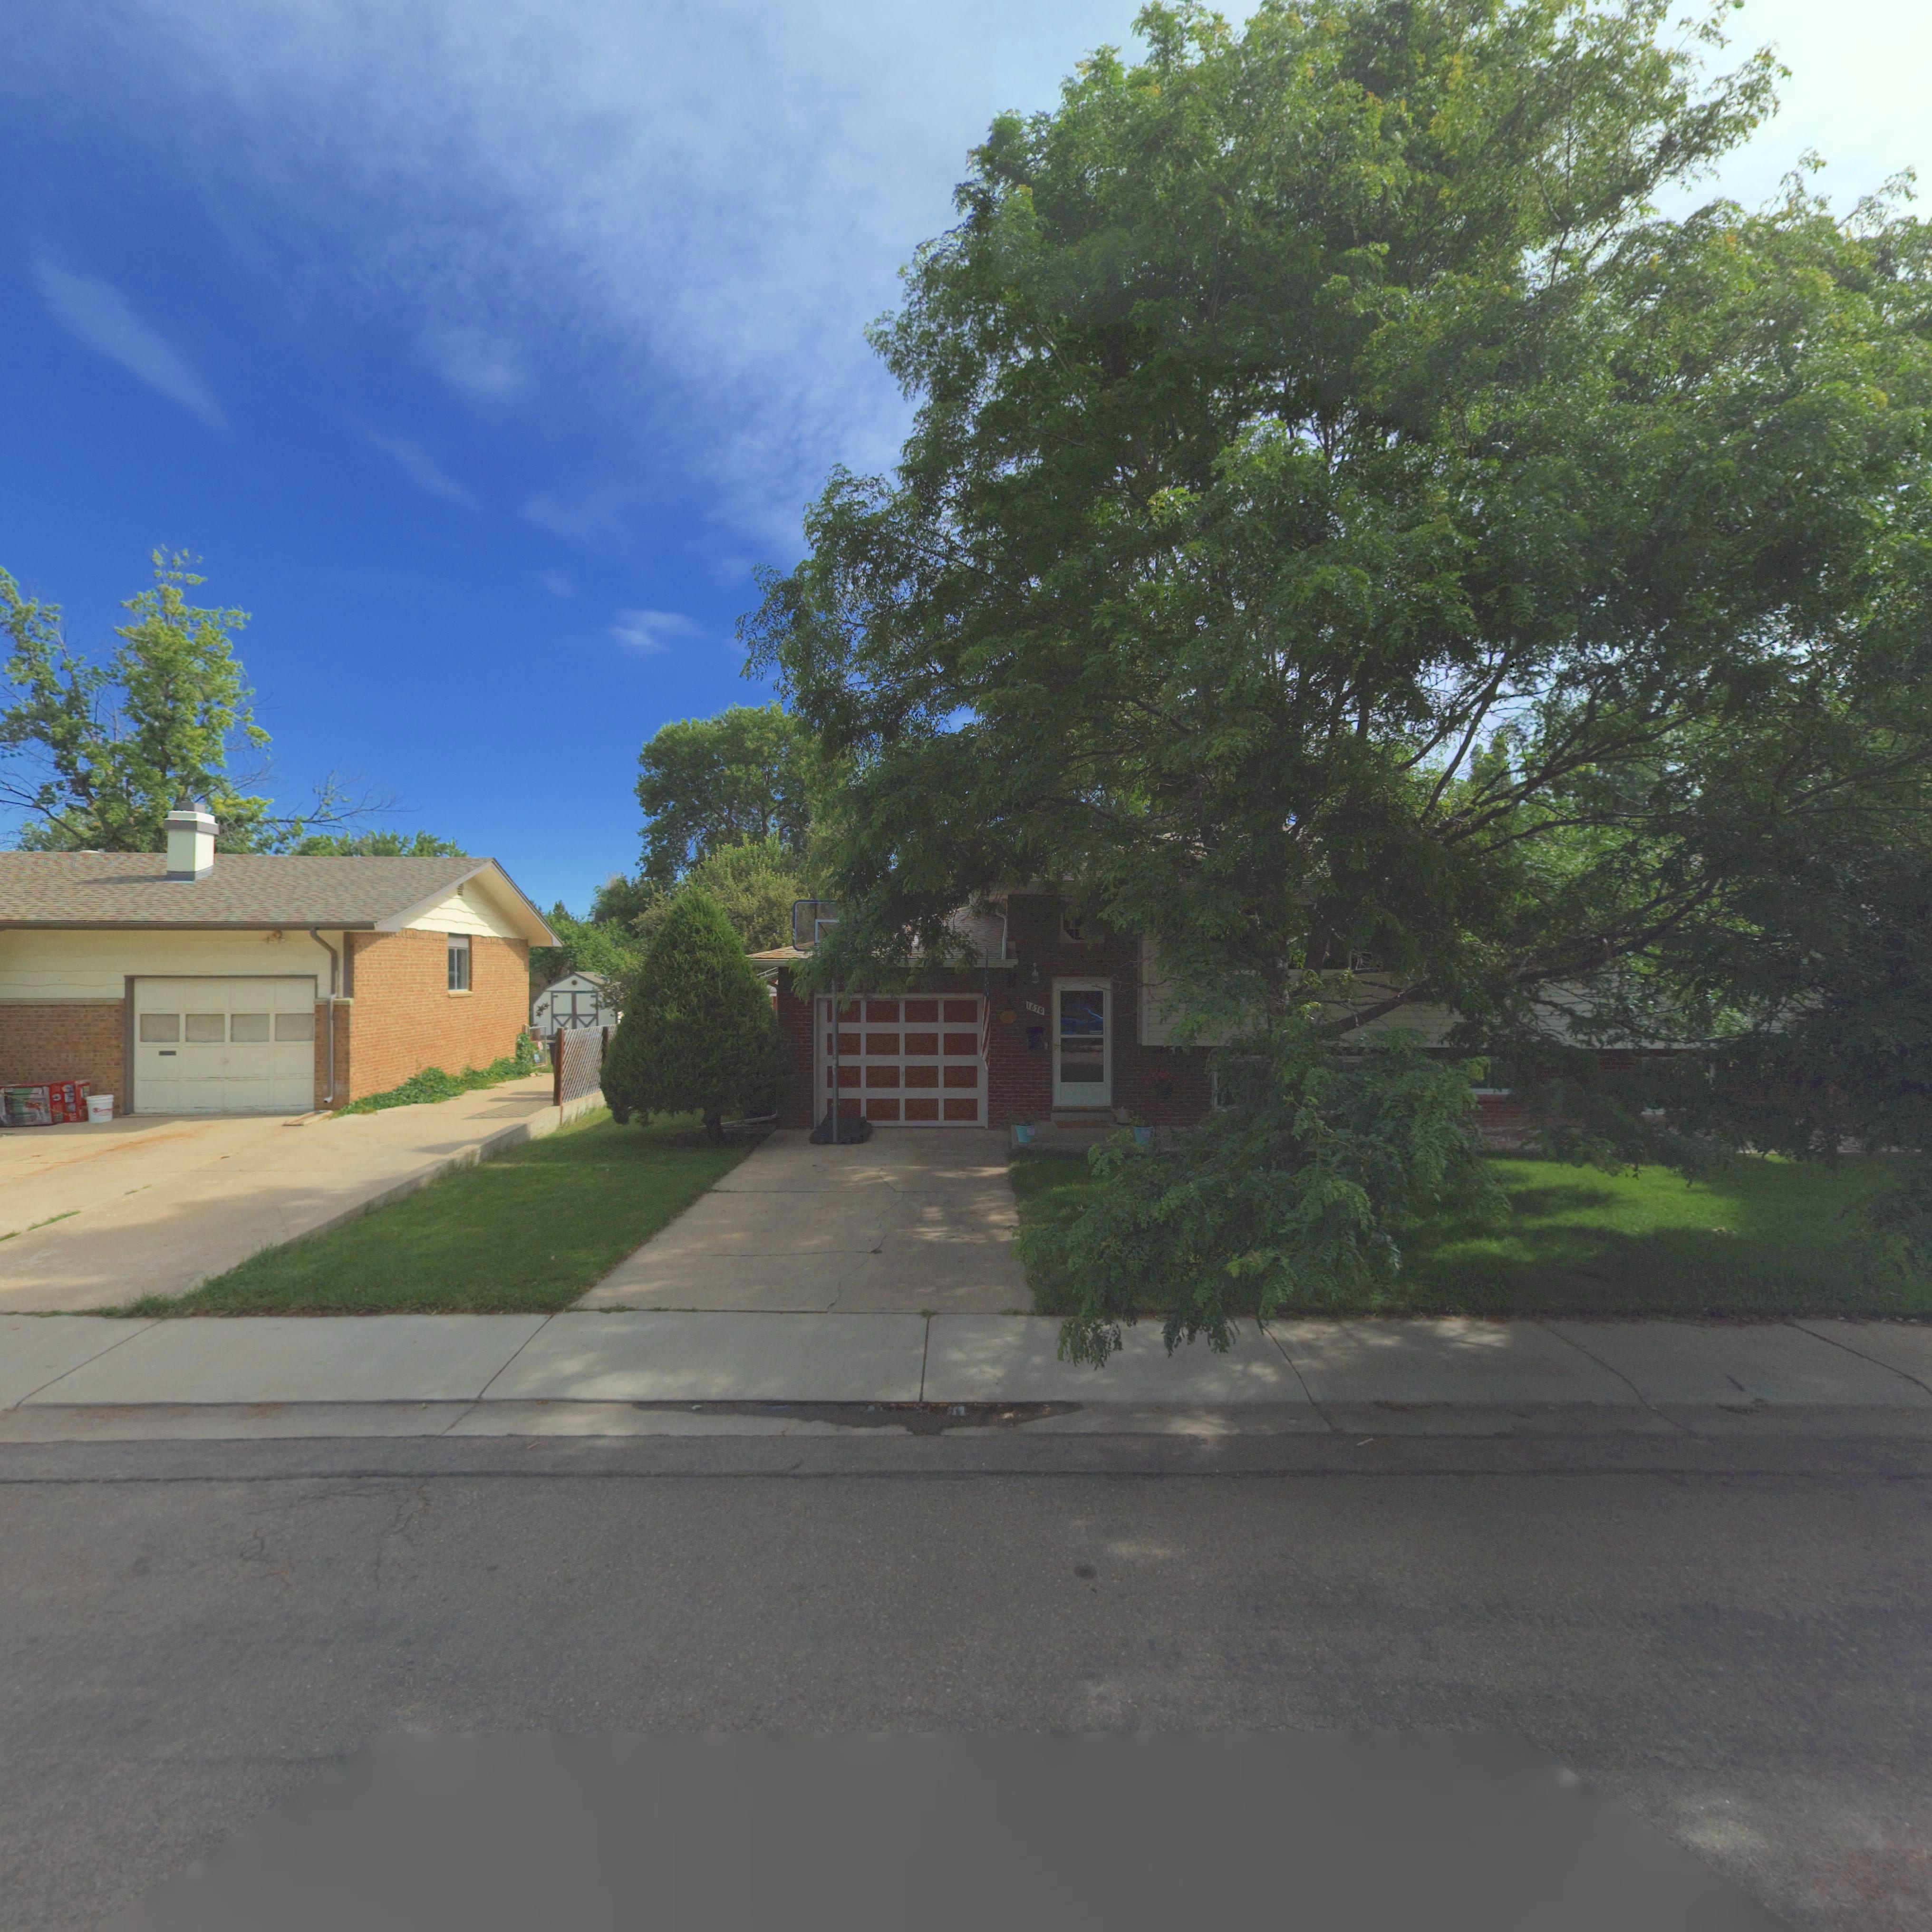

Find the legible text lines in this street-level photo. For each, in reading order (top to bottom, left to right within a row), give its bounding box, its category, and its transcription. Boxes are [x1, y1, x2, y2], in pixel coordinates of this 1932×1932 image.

[1027, 1002, 1043, 1014] StreetNumber: 1870